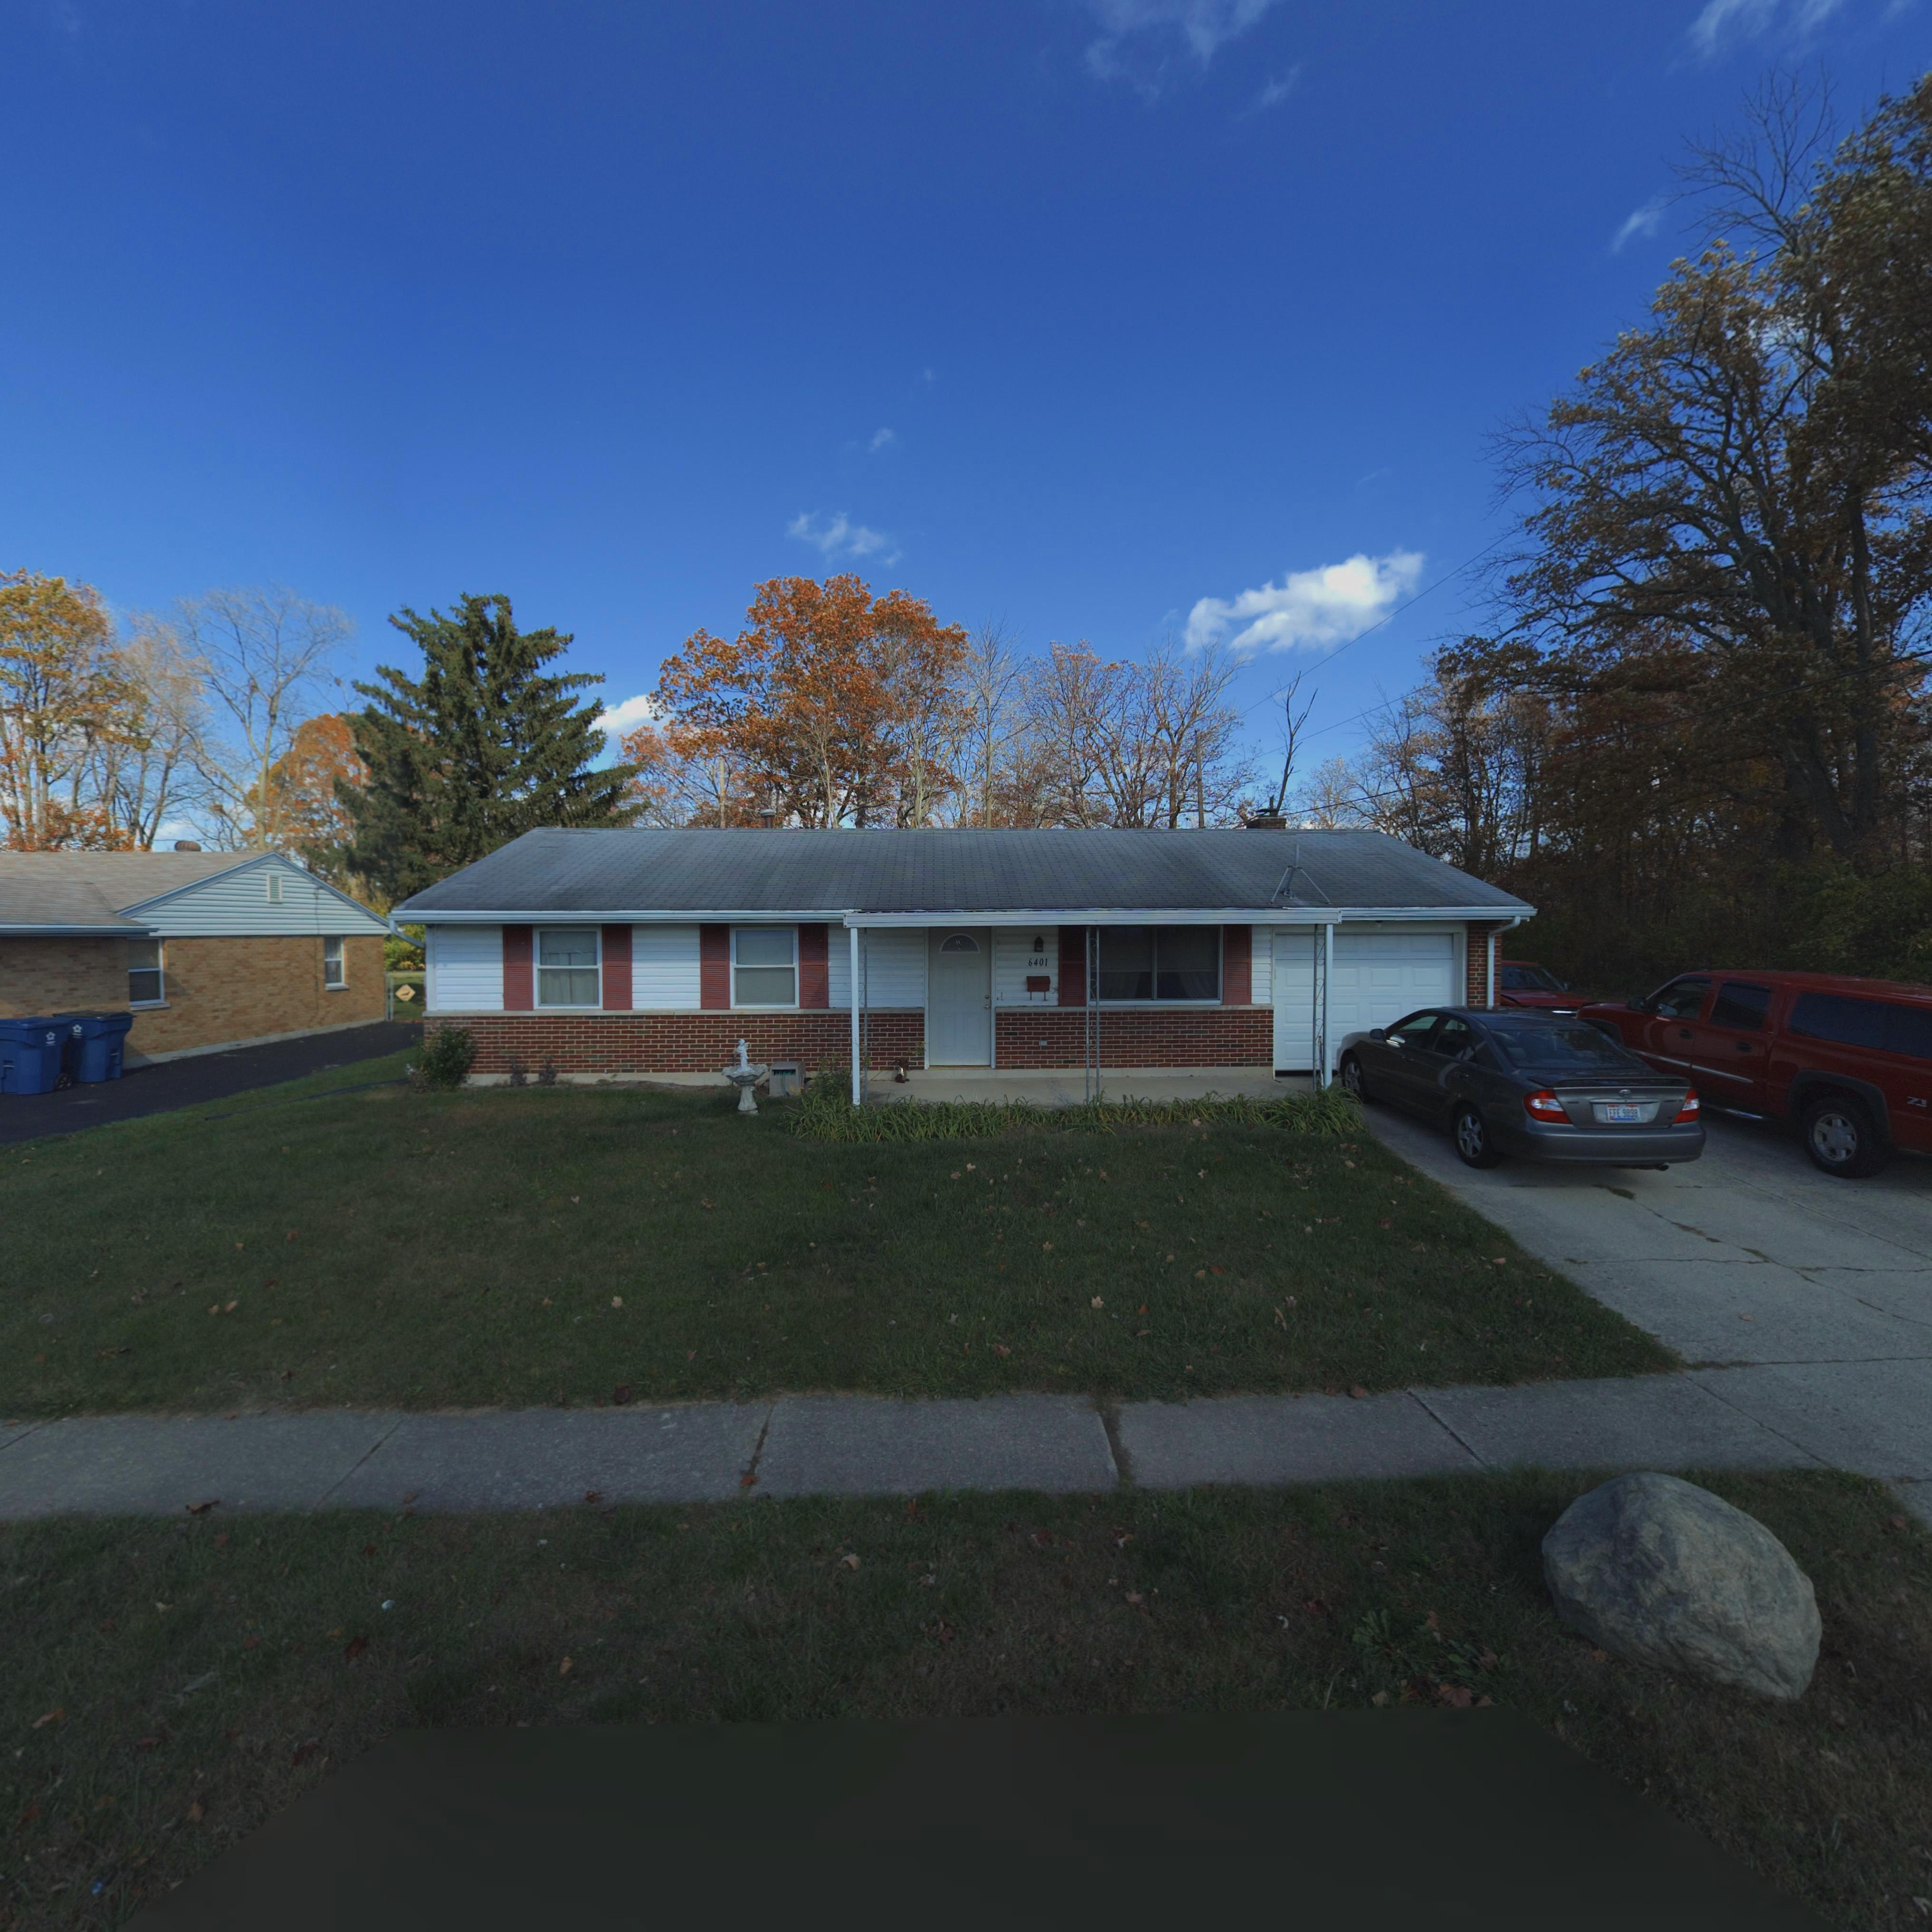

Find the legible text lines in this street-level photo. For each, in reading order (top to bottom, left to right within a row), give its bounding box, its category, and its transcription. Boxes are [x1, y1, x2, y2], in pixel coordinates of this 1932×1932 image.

[1028, 957, 1048, 967] StreetNumber: 6401